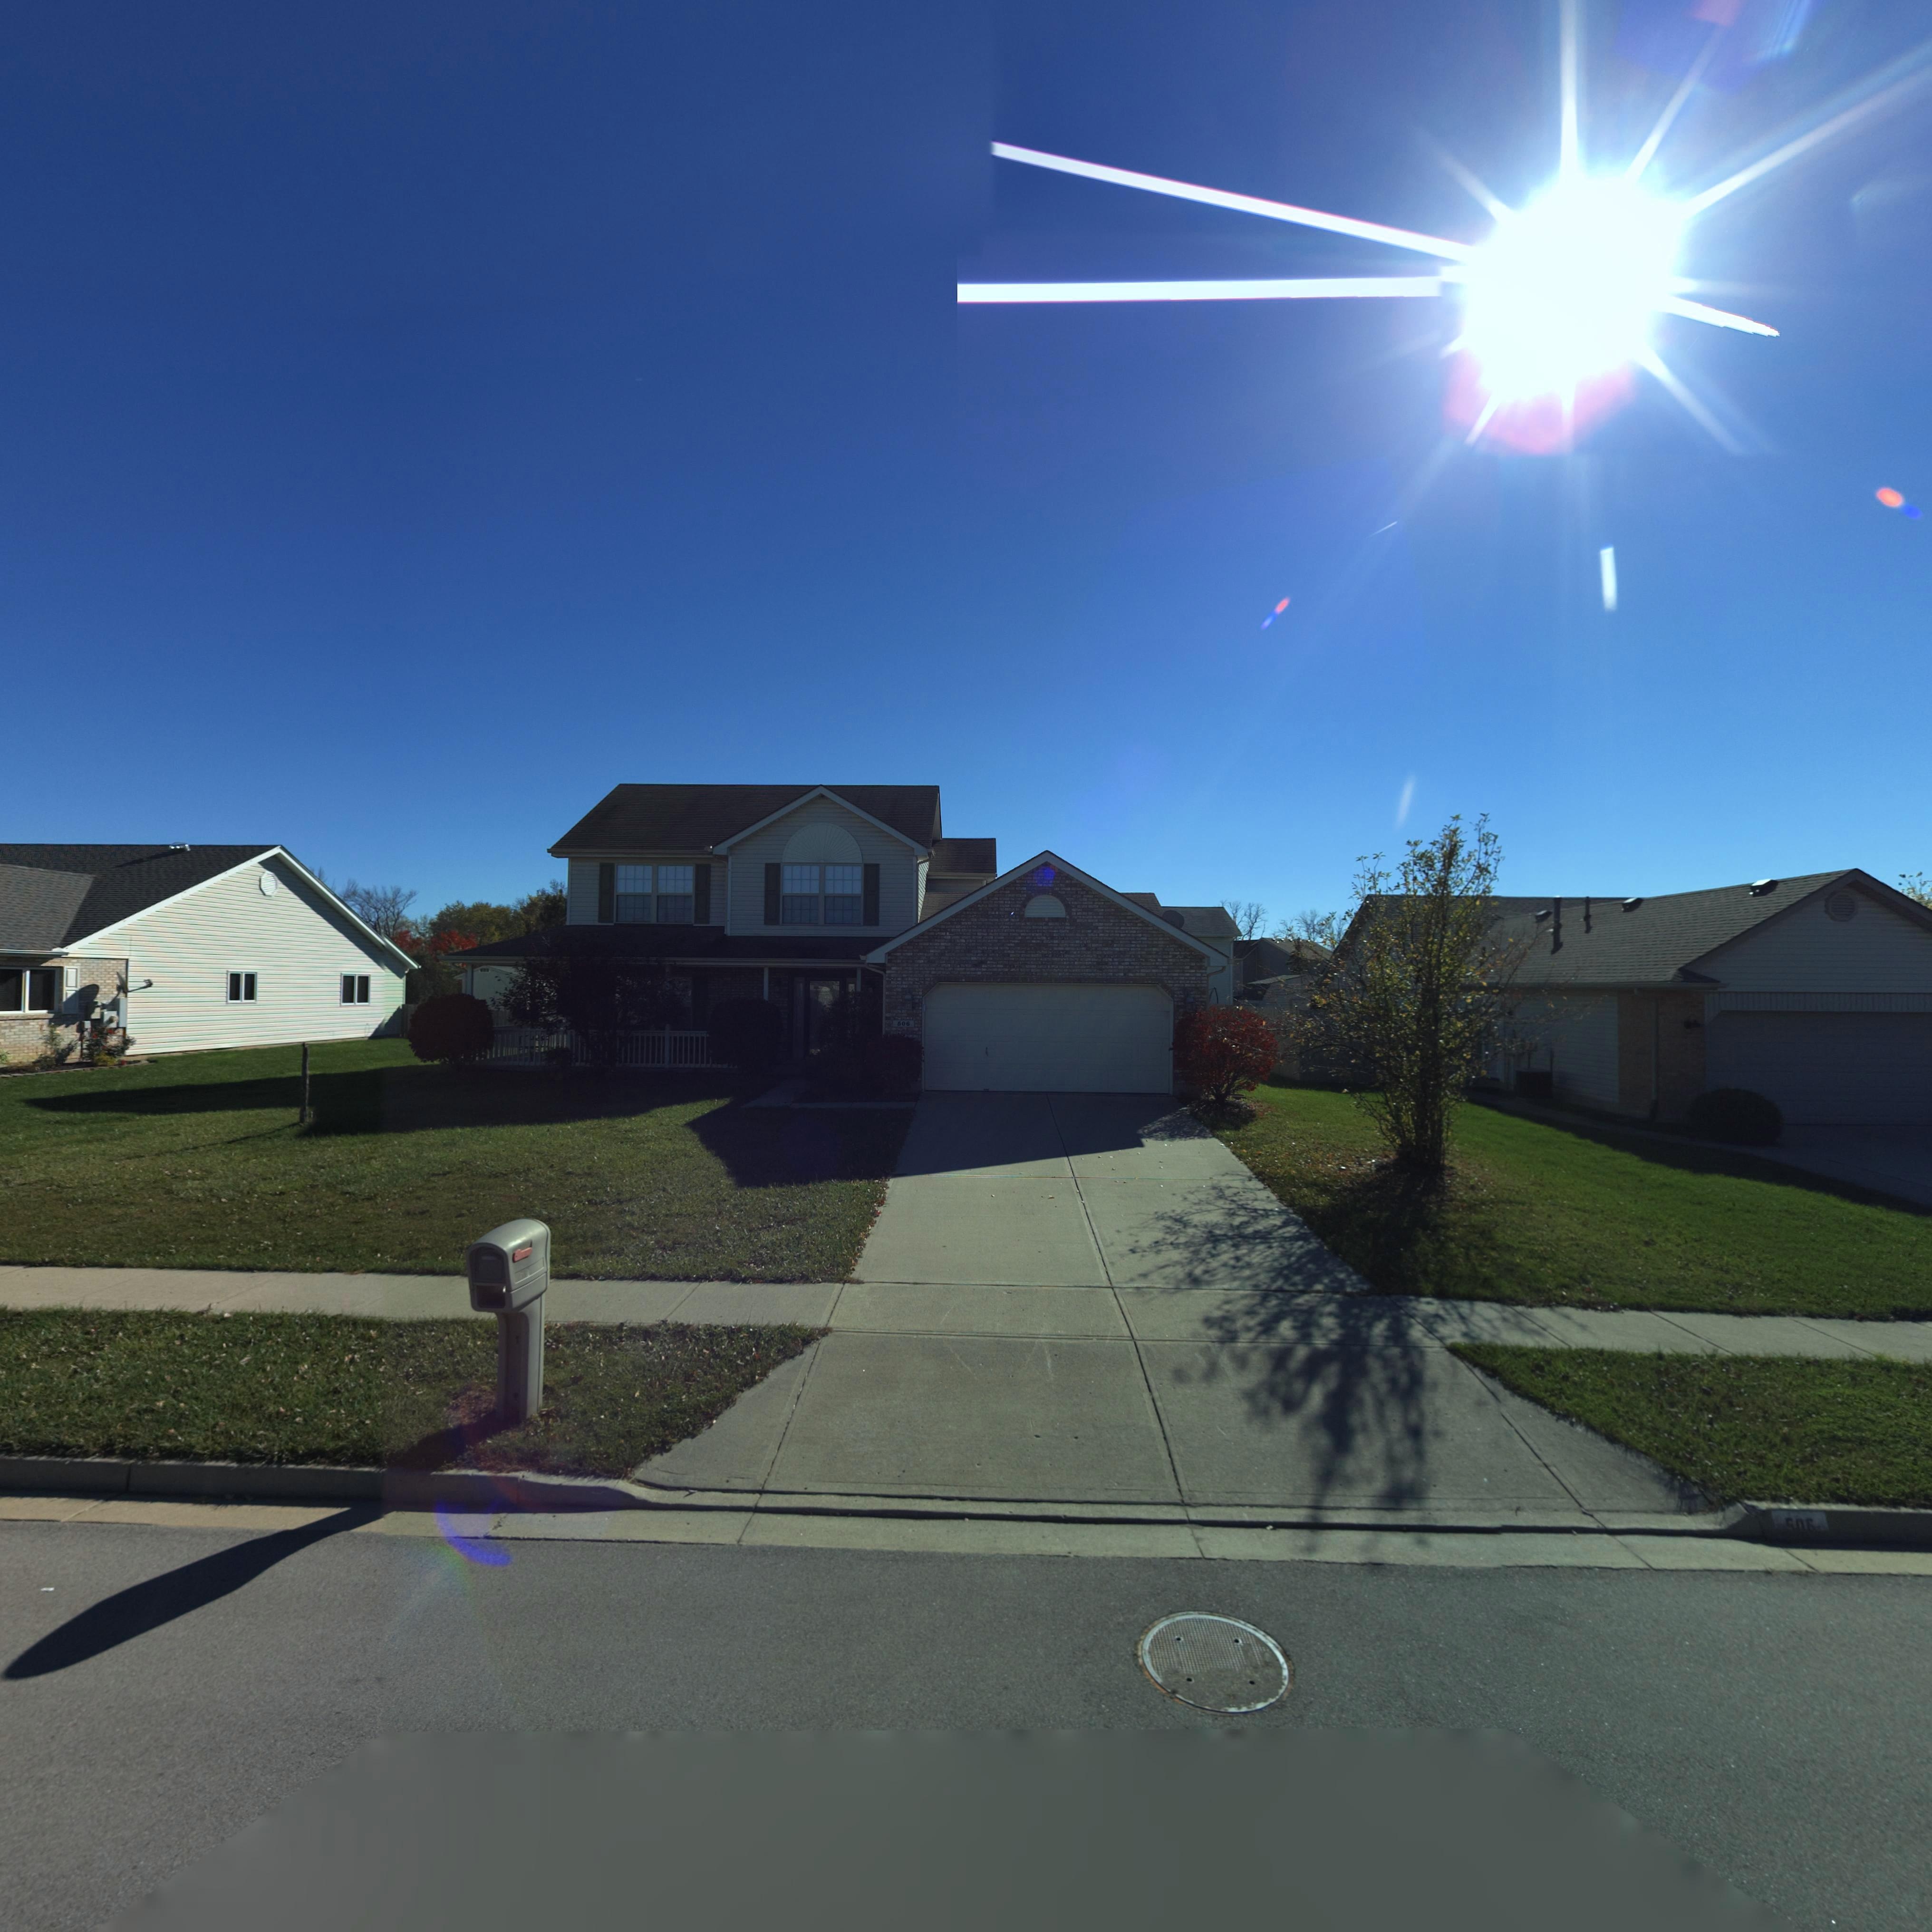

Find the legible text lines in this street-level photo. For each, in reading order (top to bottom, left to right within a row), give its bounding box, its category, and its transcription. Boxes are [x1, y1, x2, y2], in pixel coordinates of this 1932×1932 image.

[896, 1021, 911, 1027] StreetNumber: 506